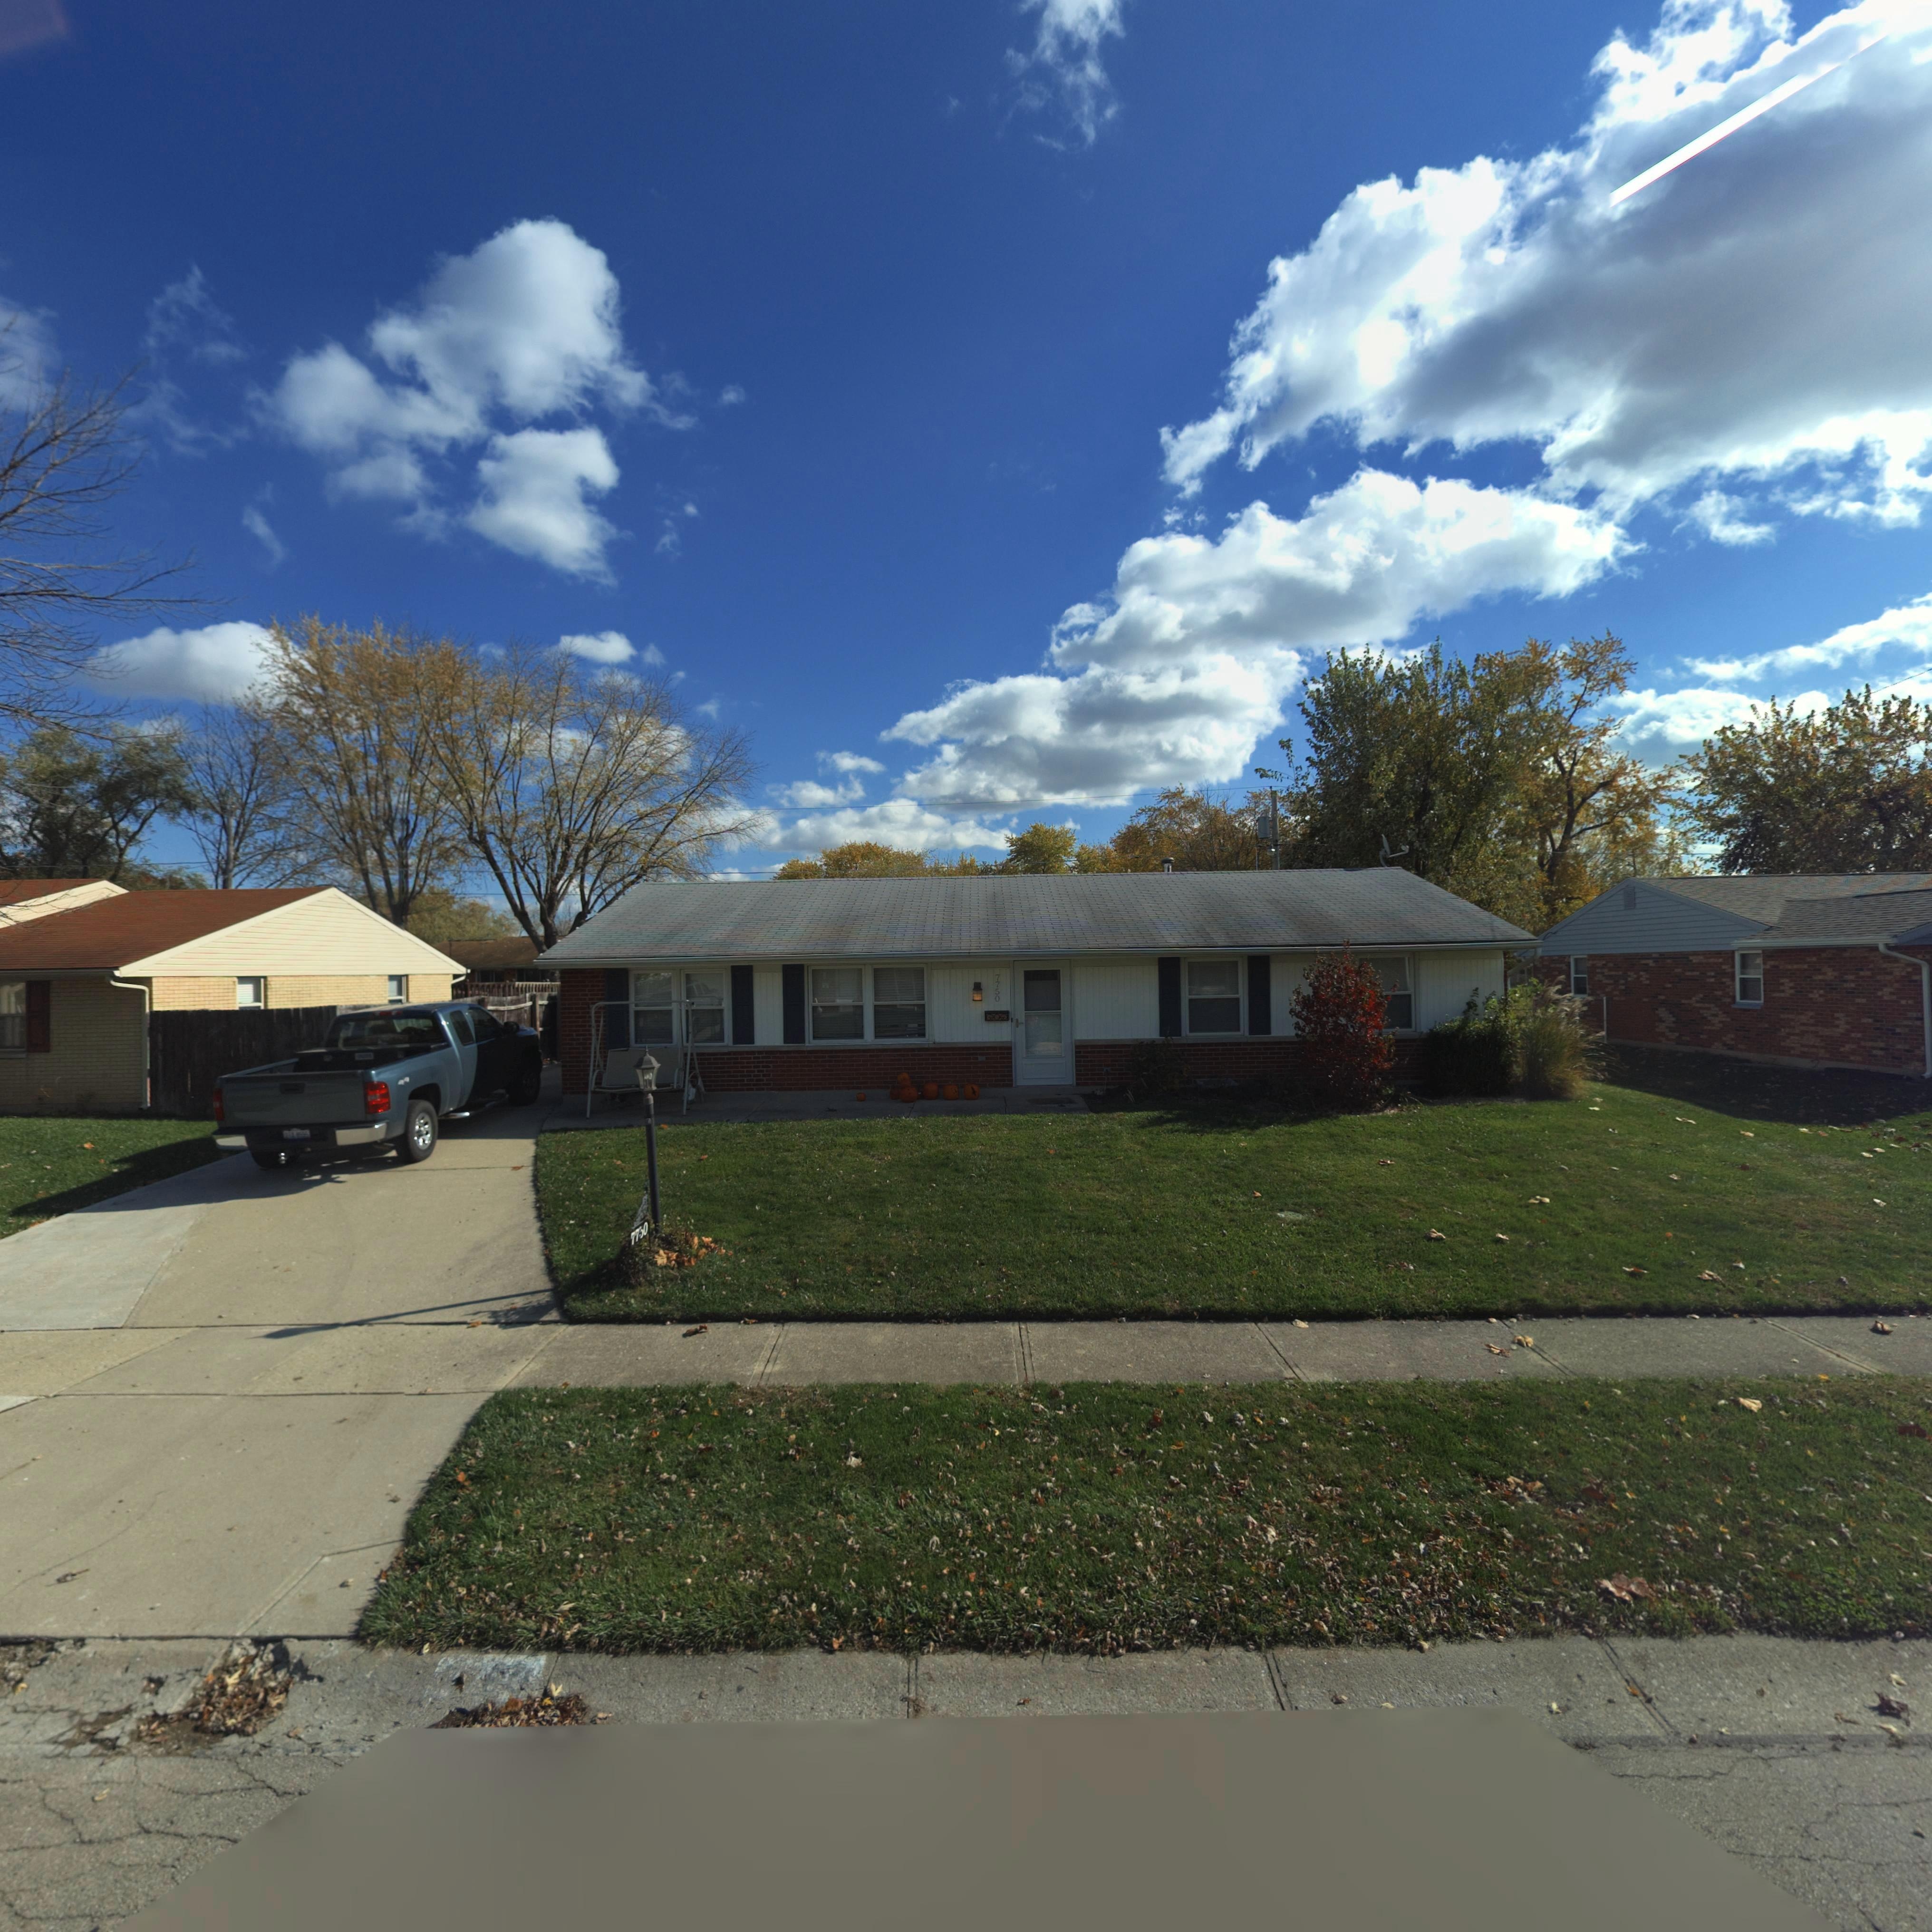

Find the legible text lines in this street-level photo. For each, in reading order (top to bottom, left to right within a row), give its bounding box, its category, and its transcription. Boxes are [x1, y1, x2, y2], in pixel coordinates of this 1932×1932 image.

[994, 973, 1000, 1003] StreetNumber: 7750
[630, 1220, 648, 1247] StreetNumber: 7750
[503, 1661, 536, 1696] StreetNumber: 0